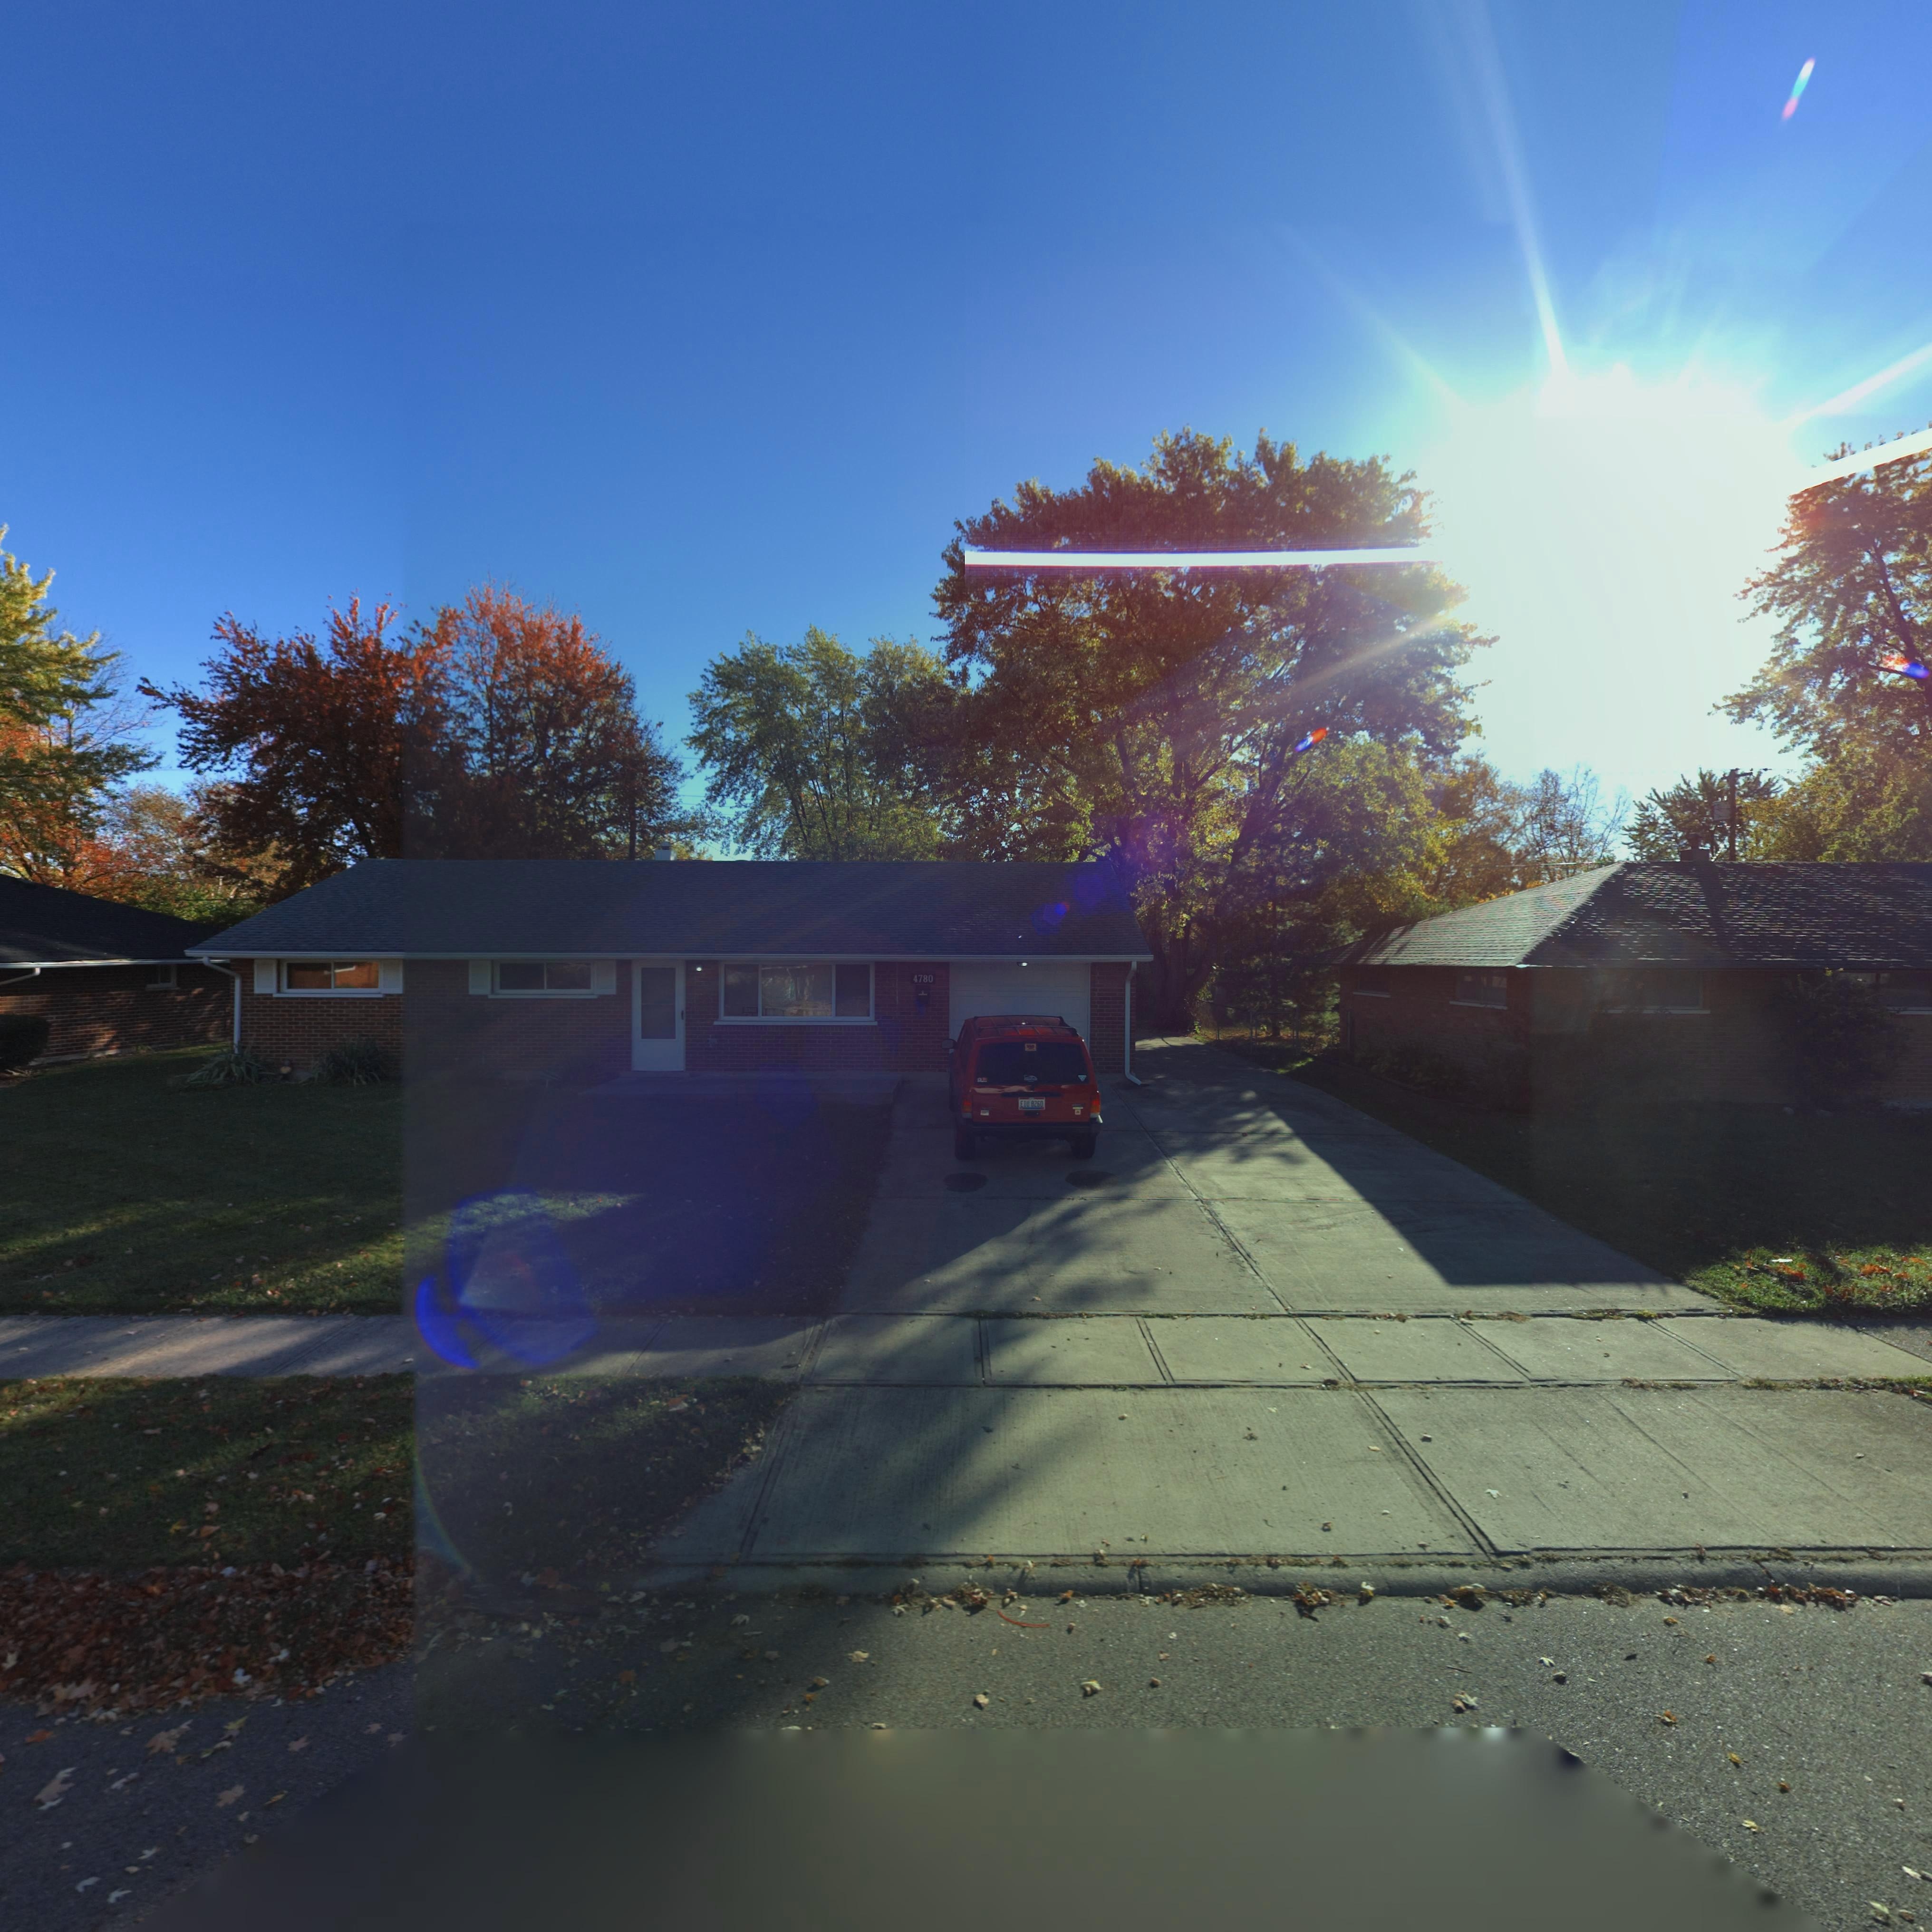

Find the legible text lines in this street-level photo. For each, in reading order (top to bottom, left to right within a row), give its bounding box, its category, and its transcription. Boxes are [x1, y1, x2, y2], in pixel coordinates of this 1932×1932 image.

[912, 974, 934, 983] StreetNumber: 4780